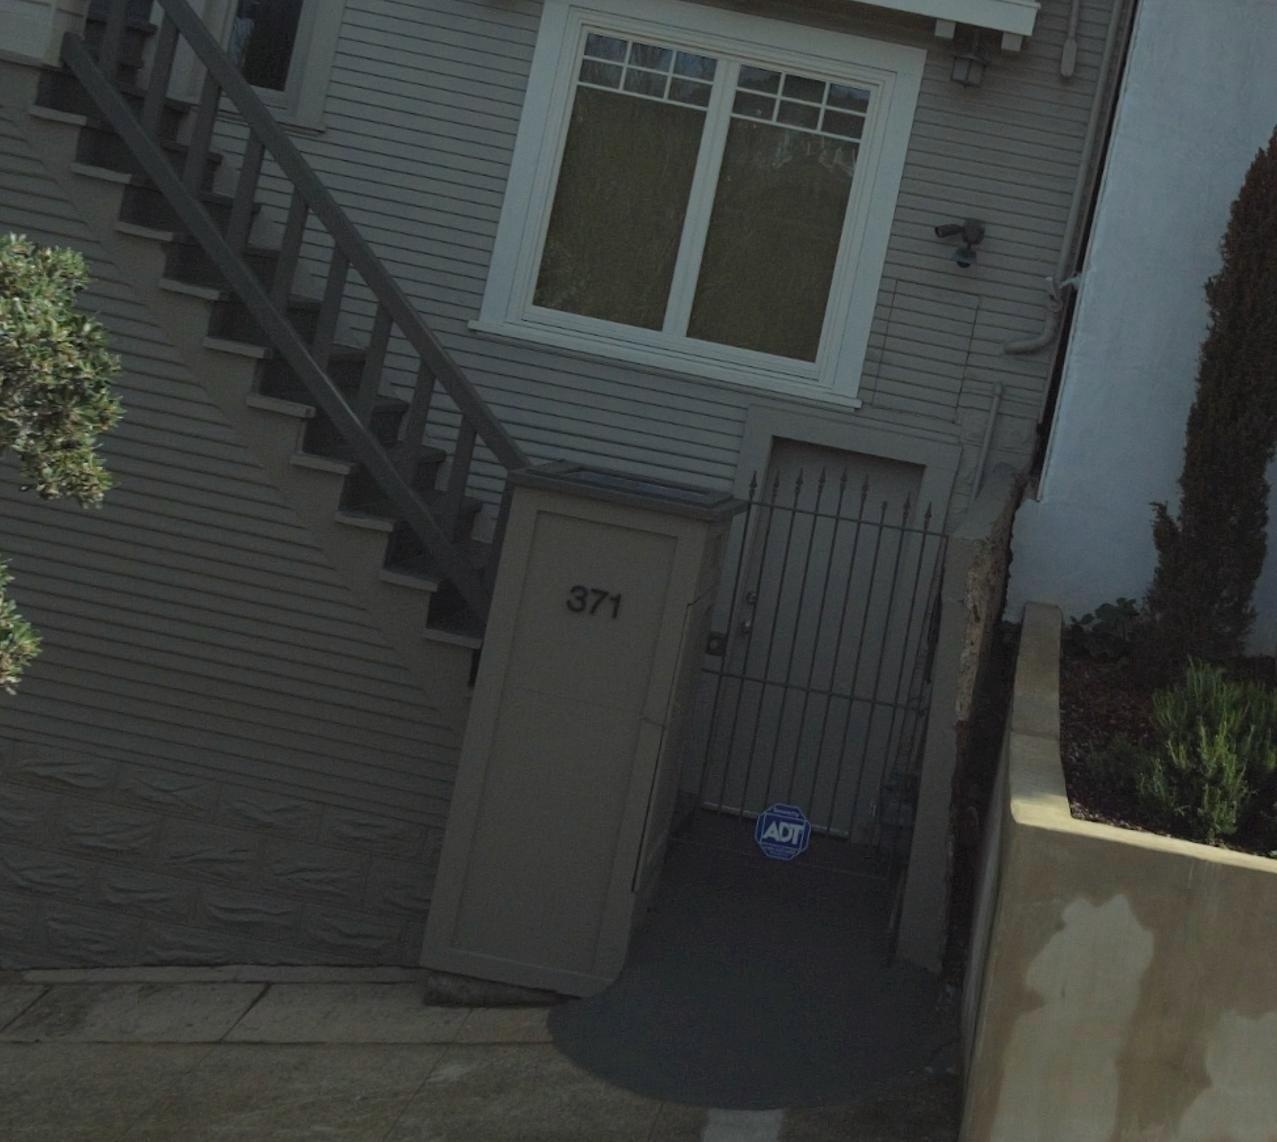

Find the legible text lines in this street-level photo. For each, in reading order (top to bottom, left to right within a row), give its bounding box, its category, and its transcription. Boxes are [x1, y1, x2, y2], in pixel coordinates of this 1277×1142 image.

[559, 577, 626, 625] StreetNumber: 371
[759, 817, 809, 849] None: ADT